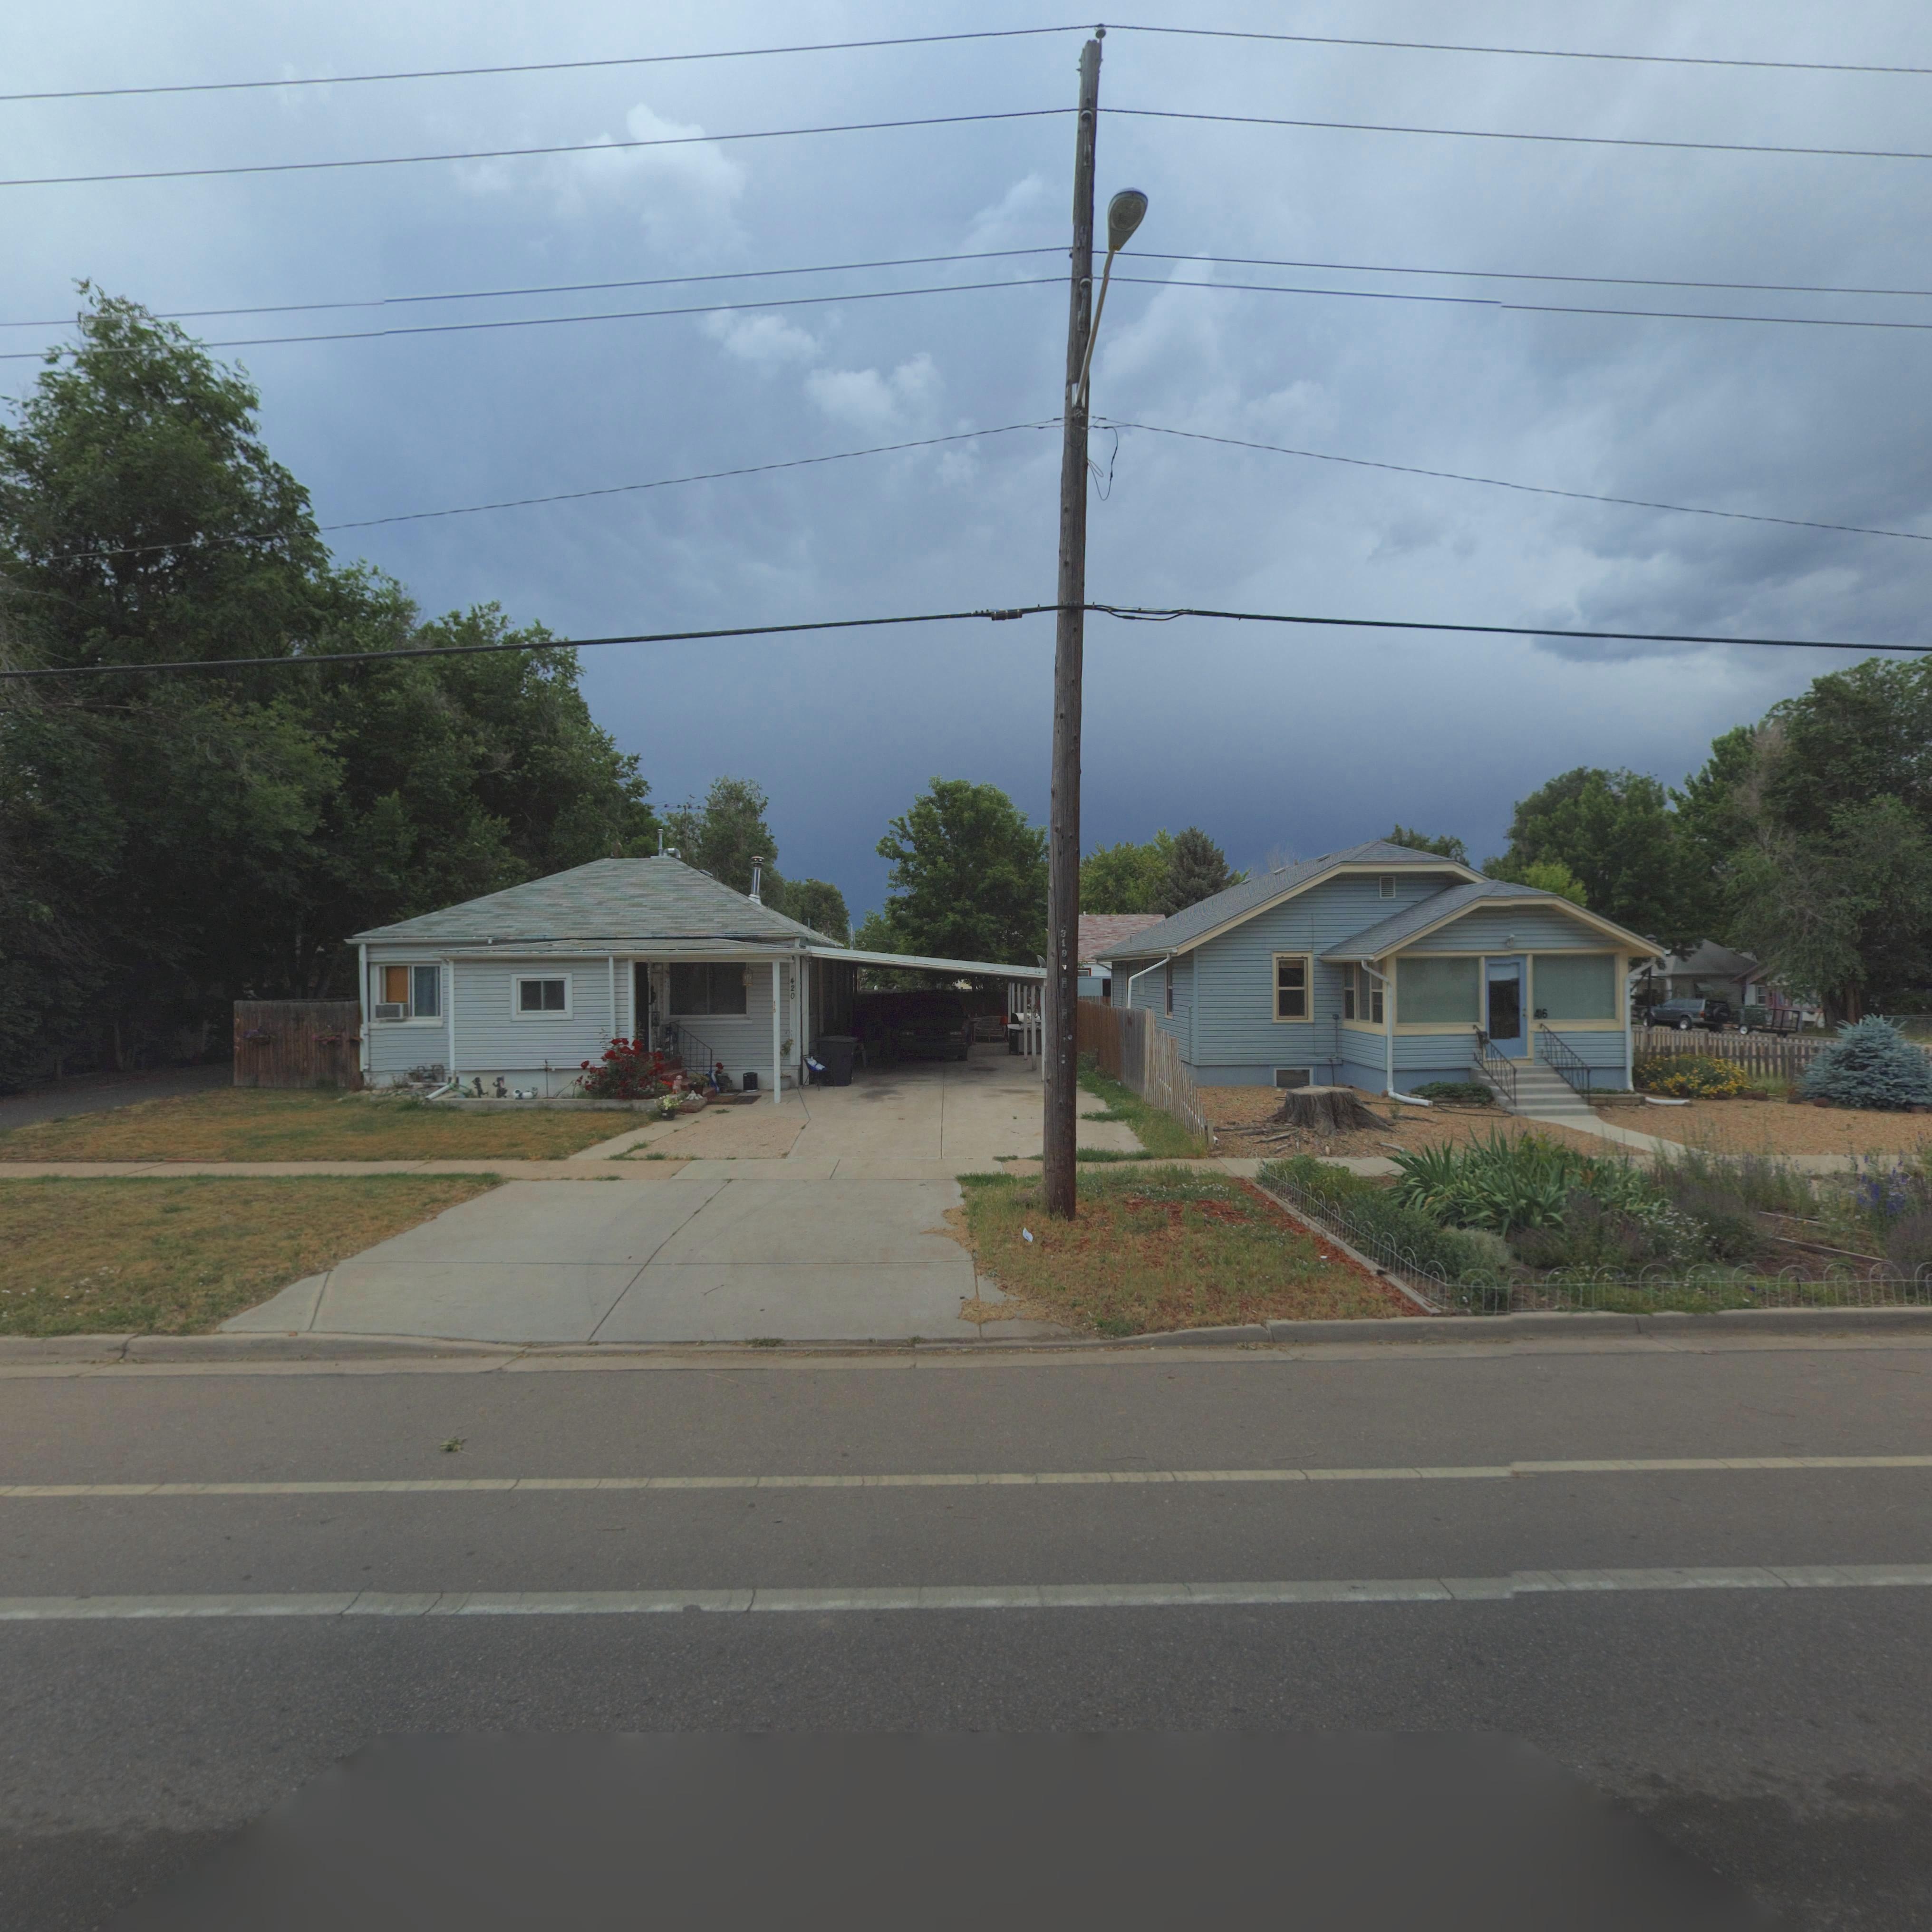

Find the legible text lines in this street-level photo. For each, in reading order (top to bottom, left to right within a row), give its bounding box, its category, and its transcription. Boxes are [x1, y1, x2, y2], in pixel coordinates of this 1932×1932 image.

[790, 977, 795, 999] StreetNumber: 420
[1534, 1008, 1547, 1019] StreetNumber: 416